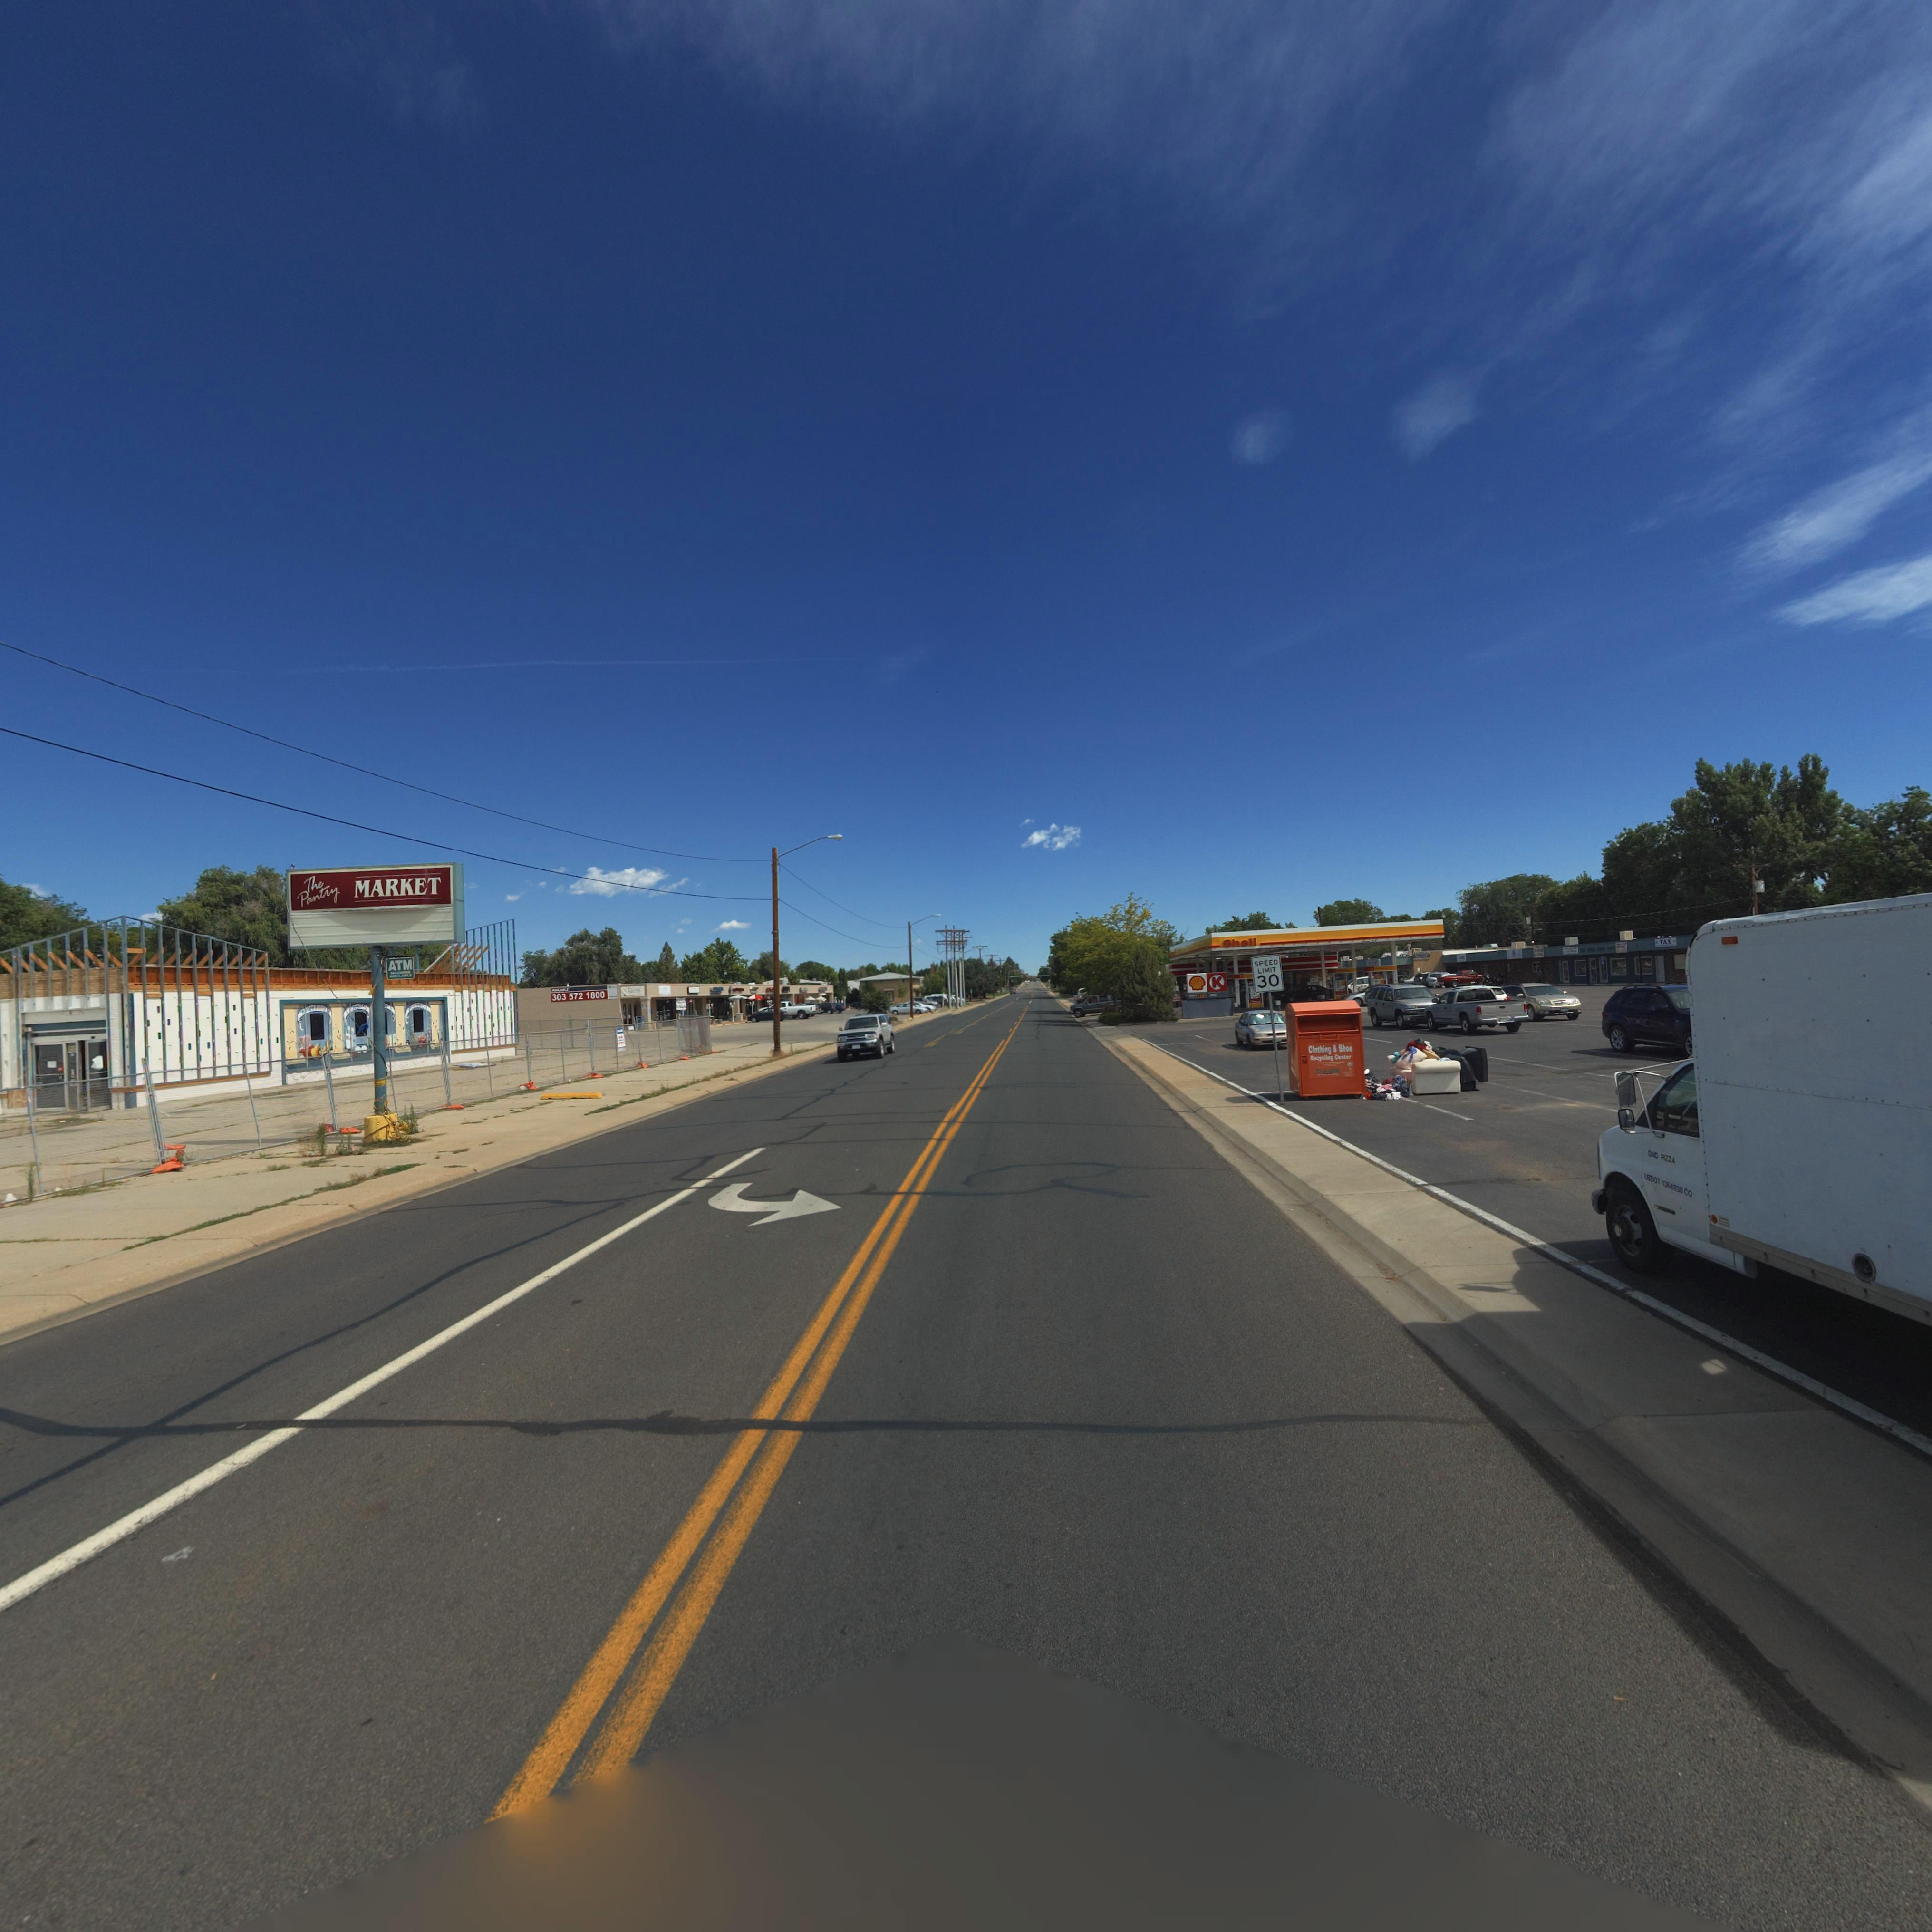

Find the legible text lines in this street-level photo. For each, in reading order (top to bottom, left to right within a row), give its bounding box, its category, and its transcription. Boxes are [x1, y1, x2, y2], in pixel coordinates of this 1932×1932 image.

[303, 875, 324, 893] BusinessName: The
[296, 884, 341, 908] BusinessName: Pantry
[353, 876, 442, 898] BusinessName: MARKET
[1223, 937, 1257, 948] BusinessName: Shell
[1659, 938, 1672, 944] BusinessName: TAX